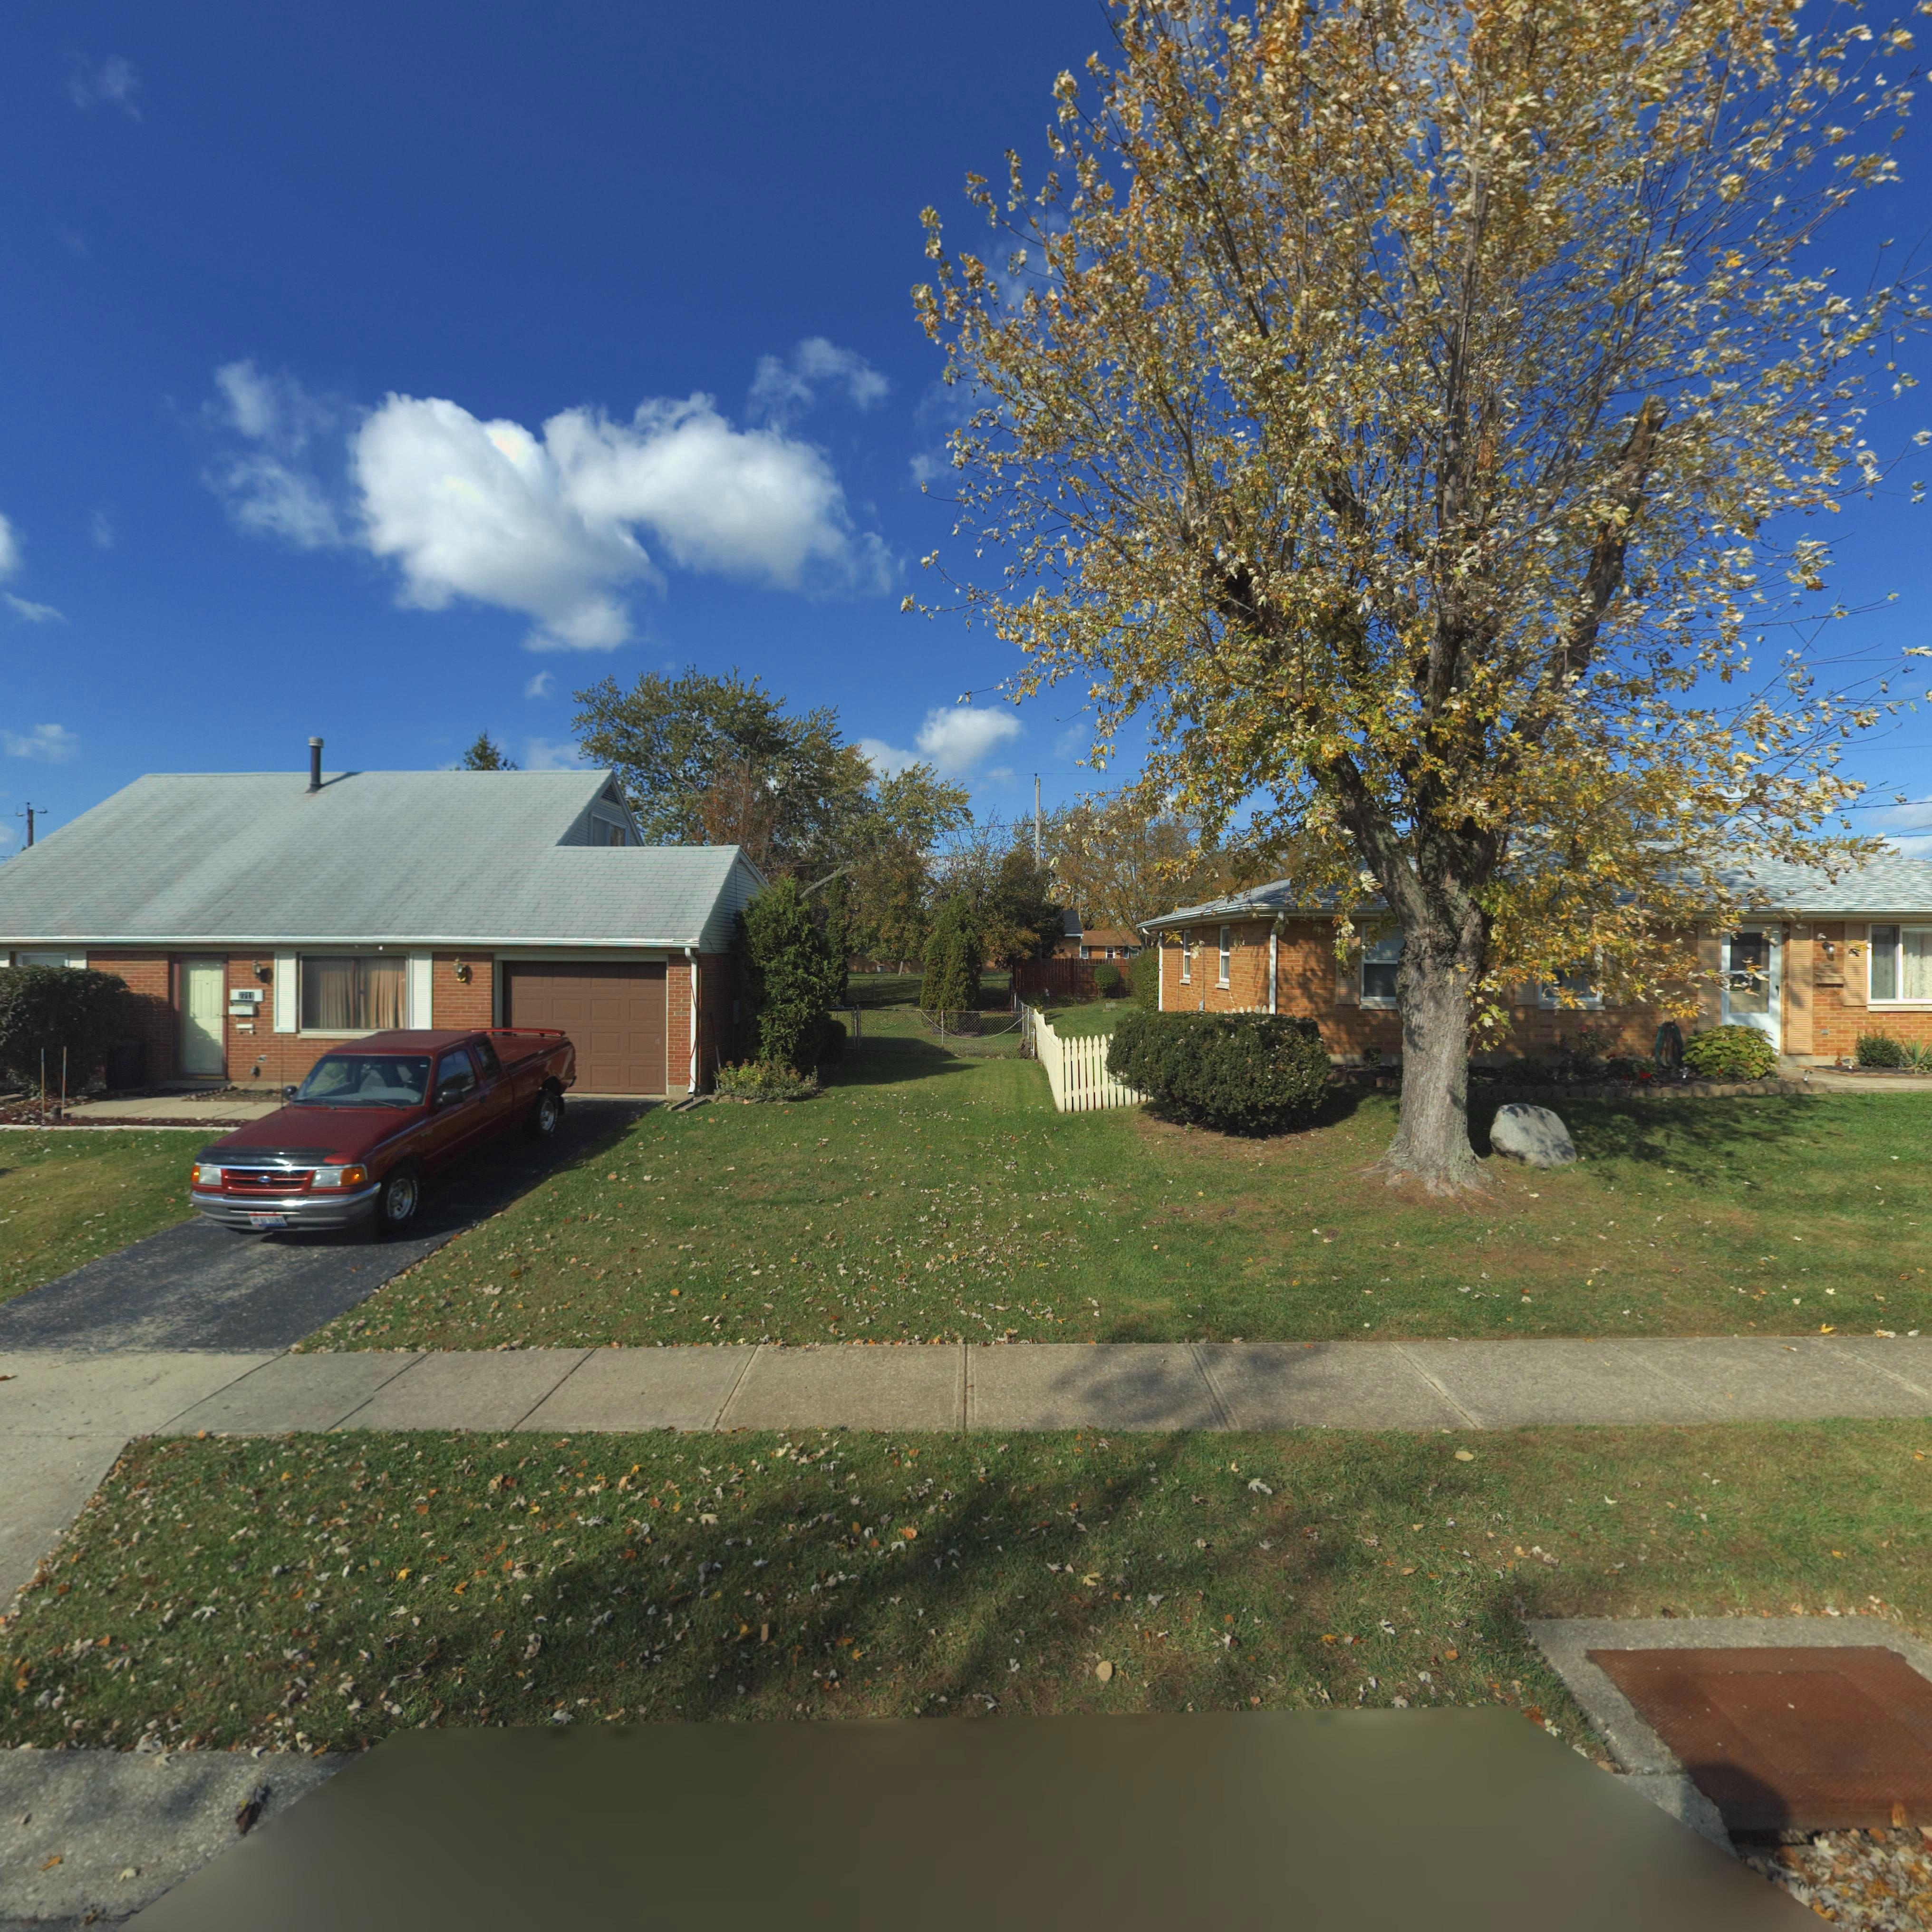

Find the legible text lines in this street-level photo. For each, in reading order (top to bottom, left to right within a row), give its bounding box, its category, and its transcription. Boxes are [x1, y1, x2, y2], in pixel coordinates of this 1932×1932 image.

[238, 992, 254, 999] StreetNumber: 7***